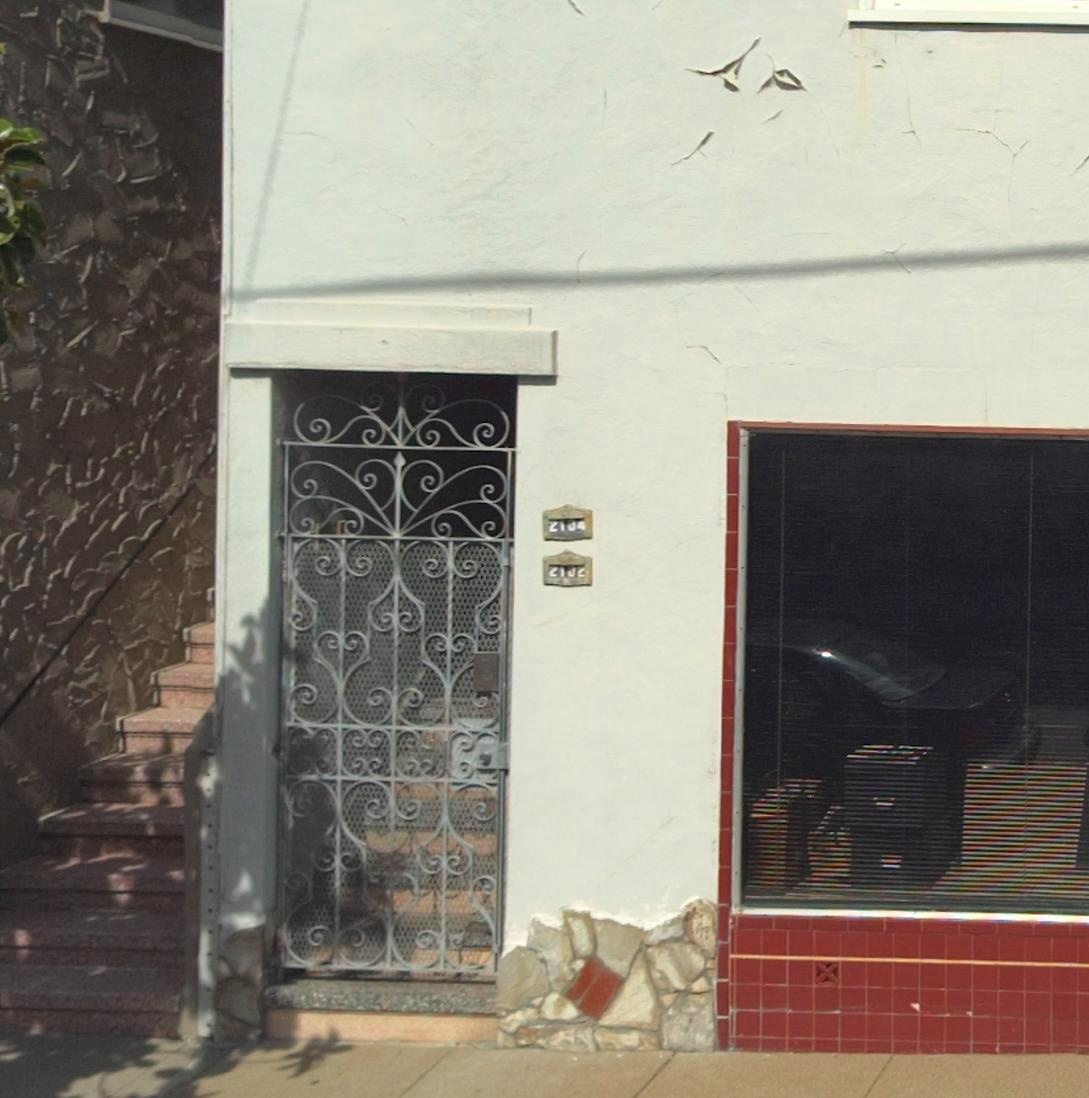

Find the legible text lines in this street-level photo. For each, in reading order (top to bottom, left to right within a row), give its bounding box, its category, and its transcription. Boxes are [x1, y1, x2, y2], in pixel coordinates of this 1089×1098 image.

[547, 517, 586, 533] StreetNumber: 2104
[548, 564, 586, 578] StreetNumber: 2102